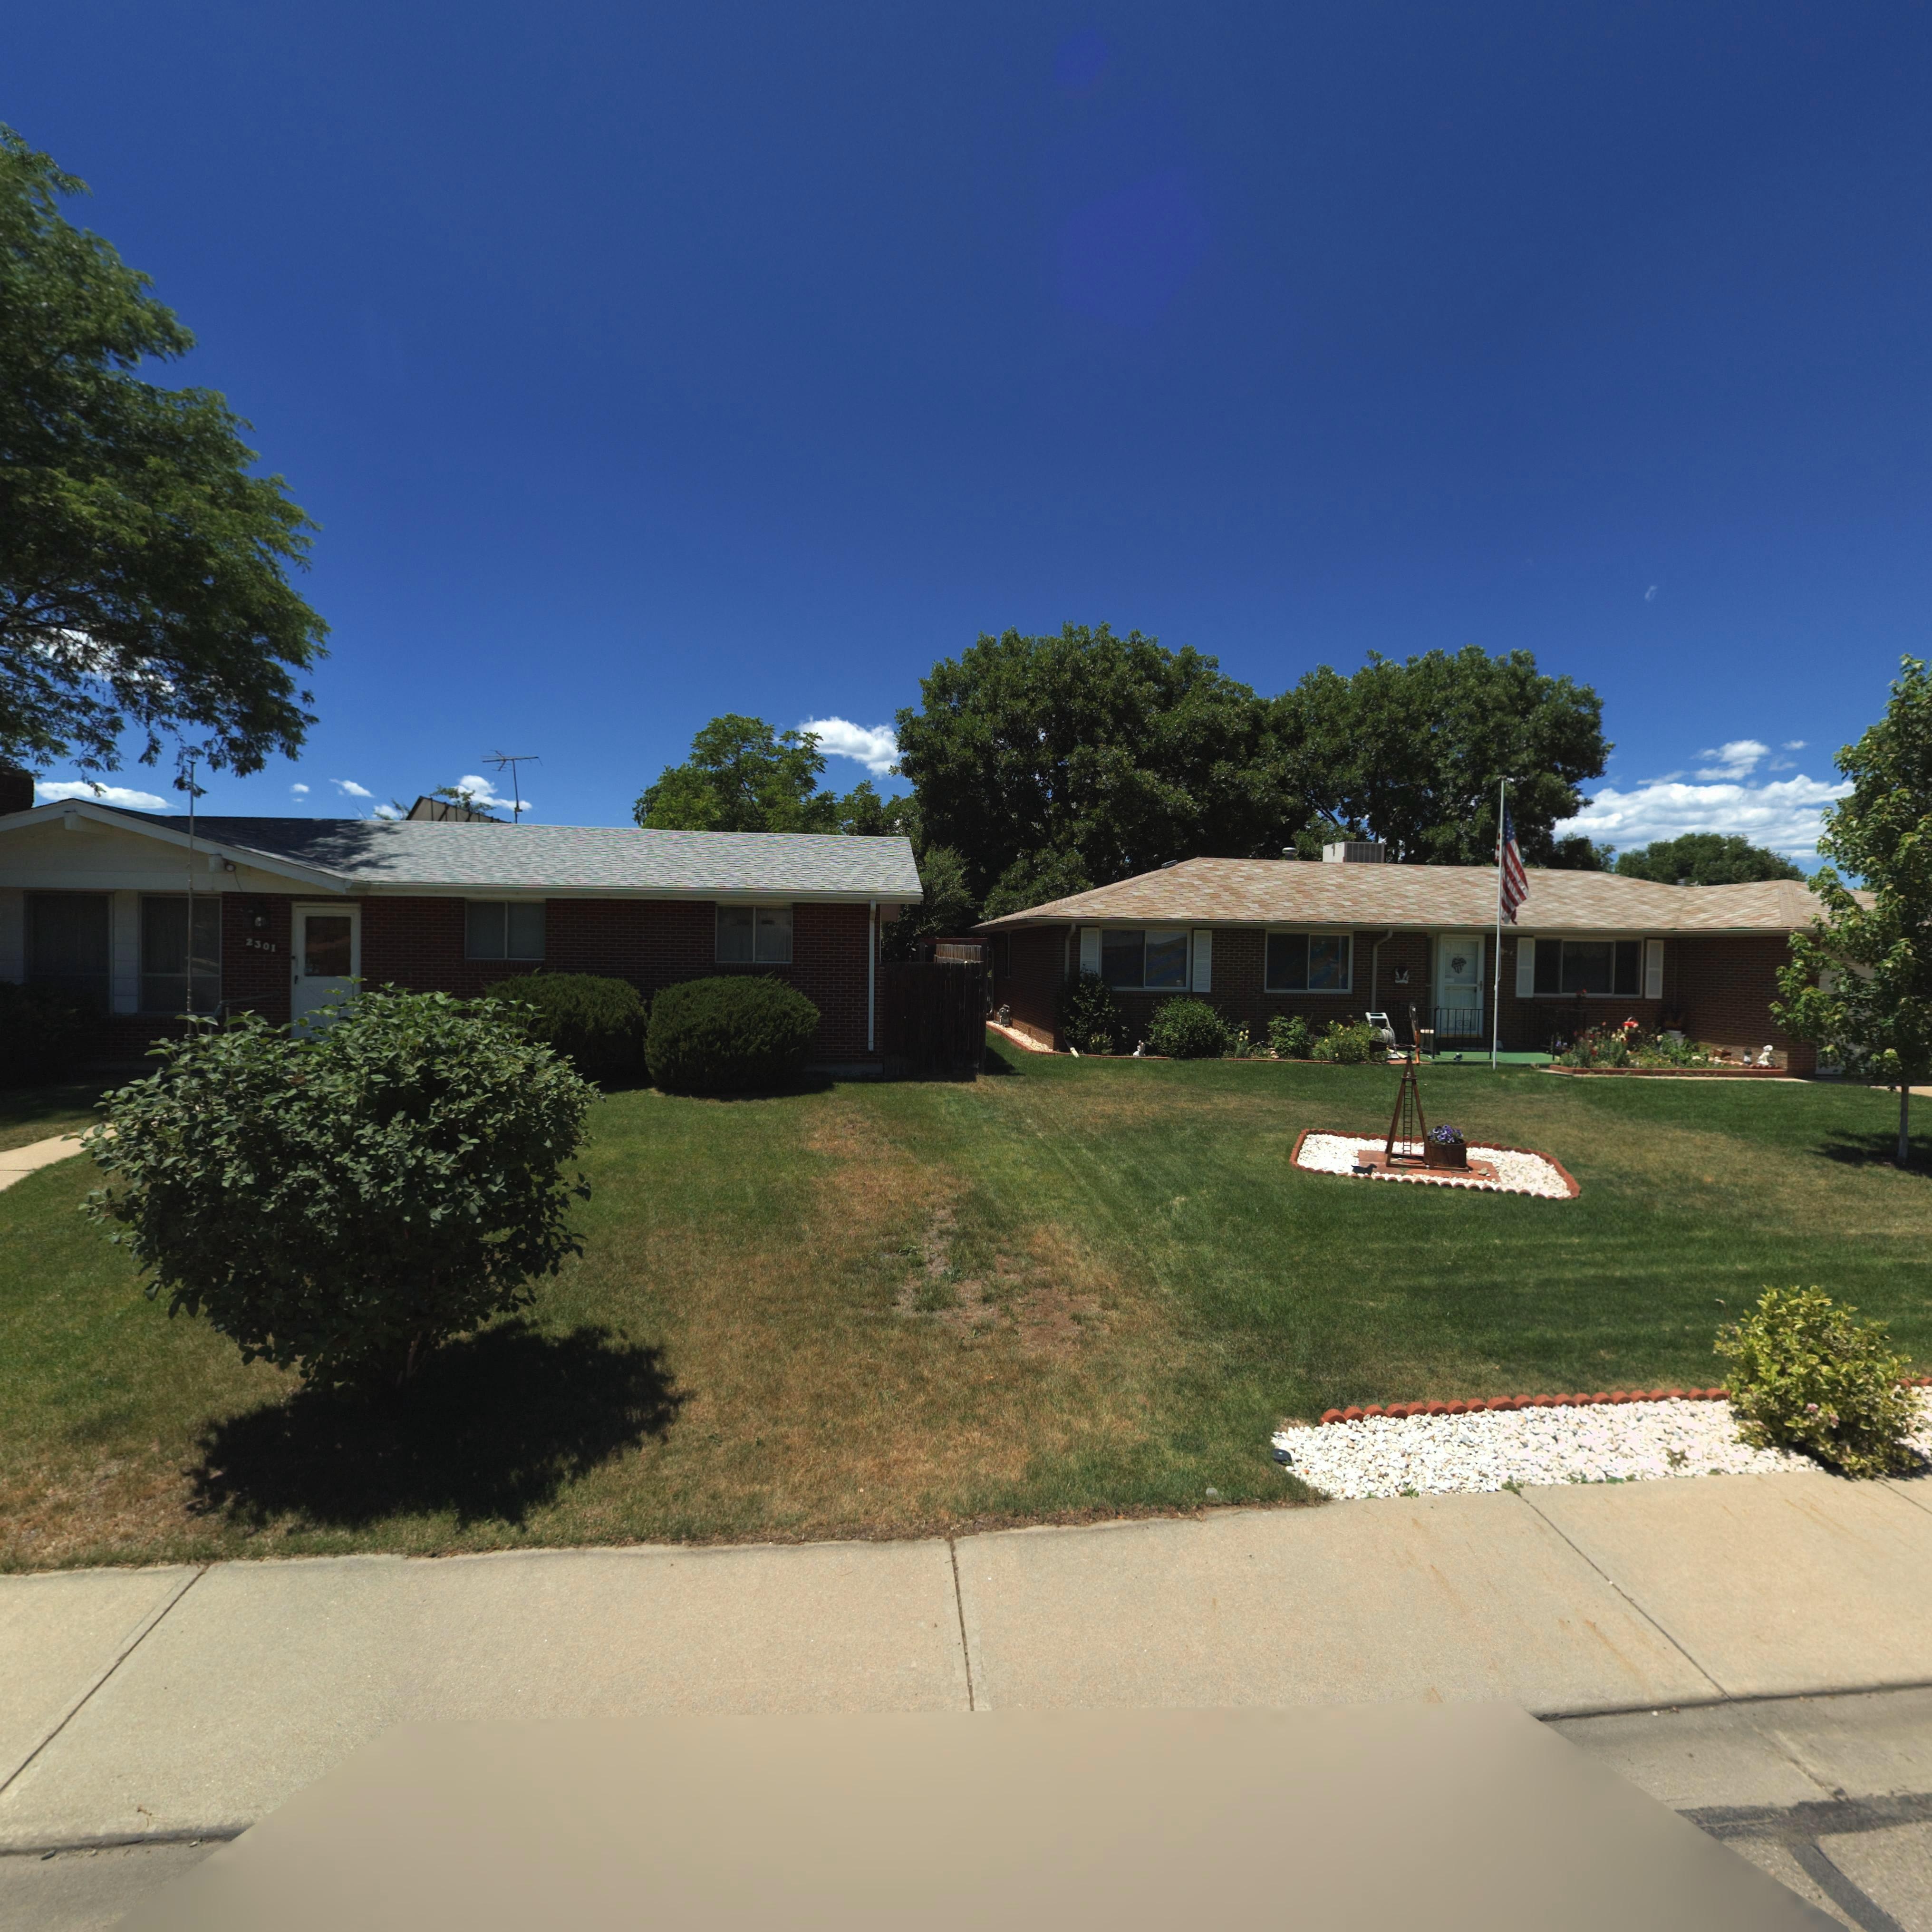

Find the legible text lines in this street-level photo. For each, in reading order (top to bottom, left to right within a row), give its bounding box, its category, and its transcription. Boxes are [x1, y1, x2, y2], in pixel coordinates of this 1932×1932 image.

[244, 937, 277, 953] StreetNumber: 2301